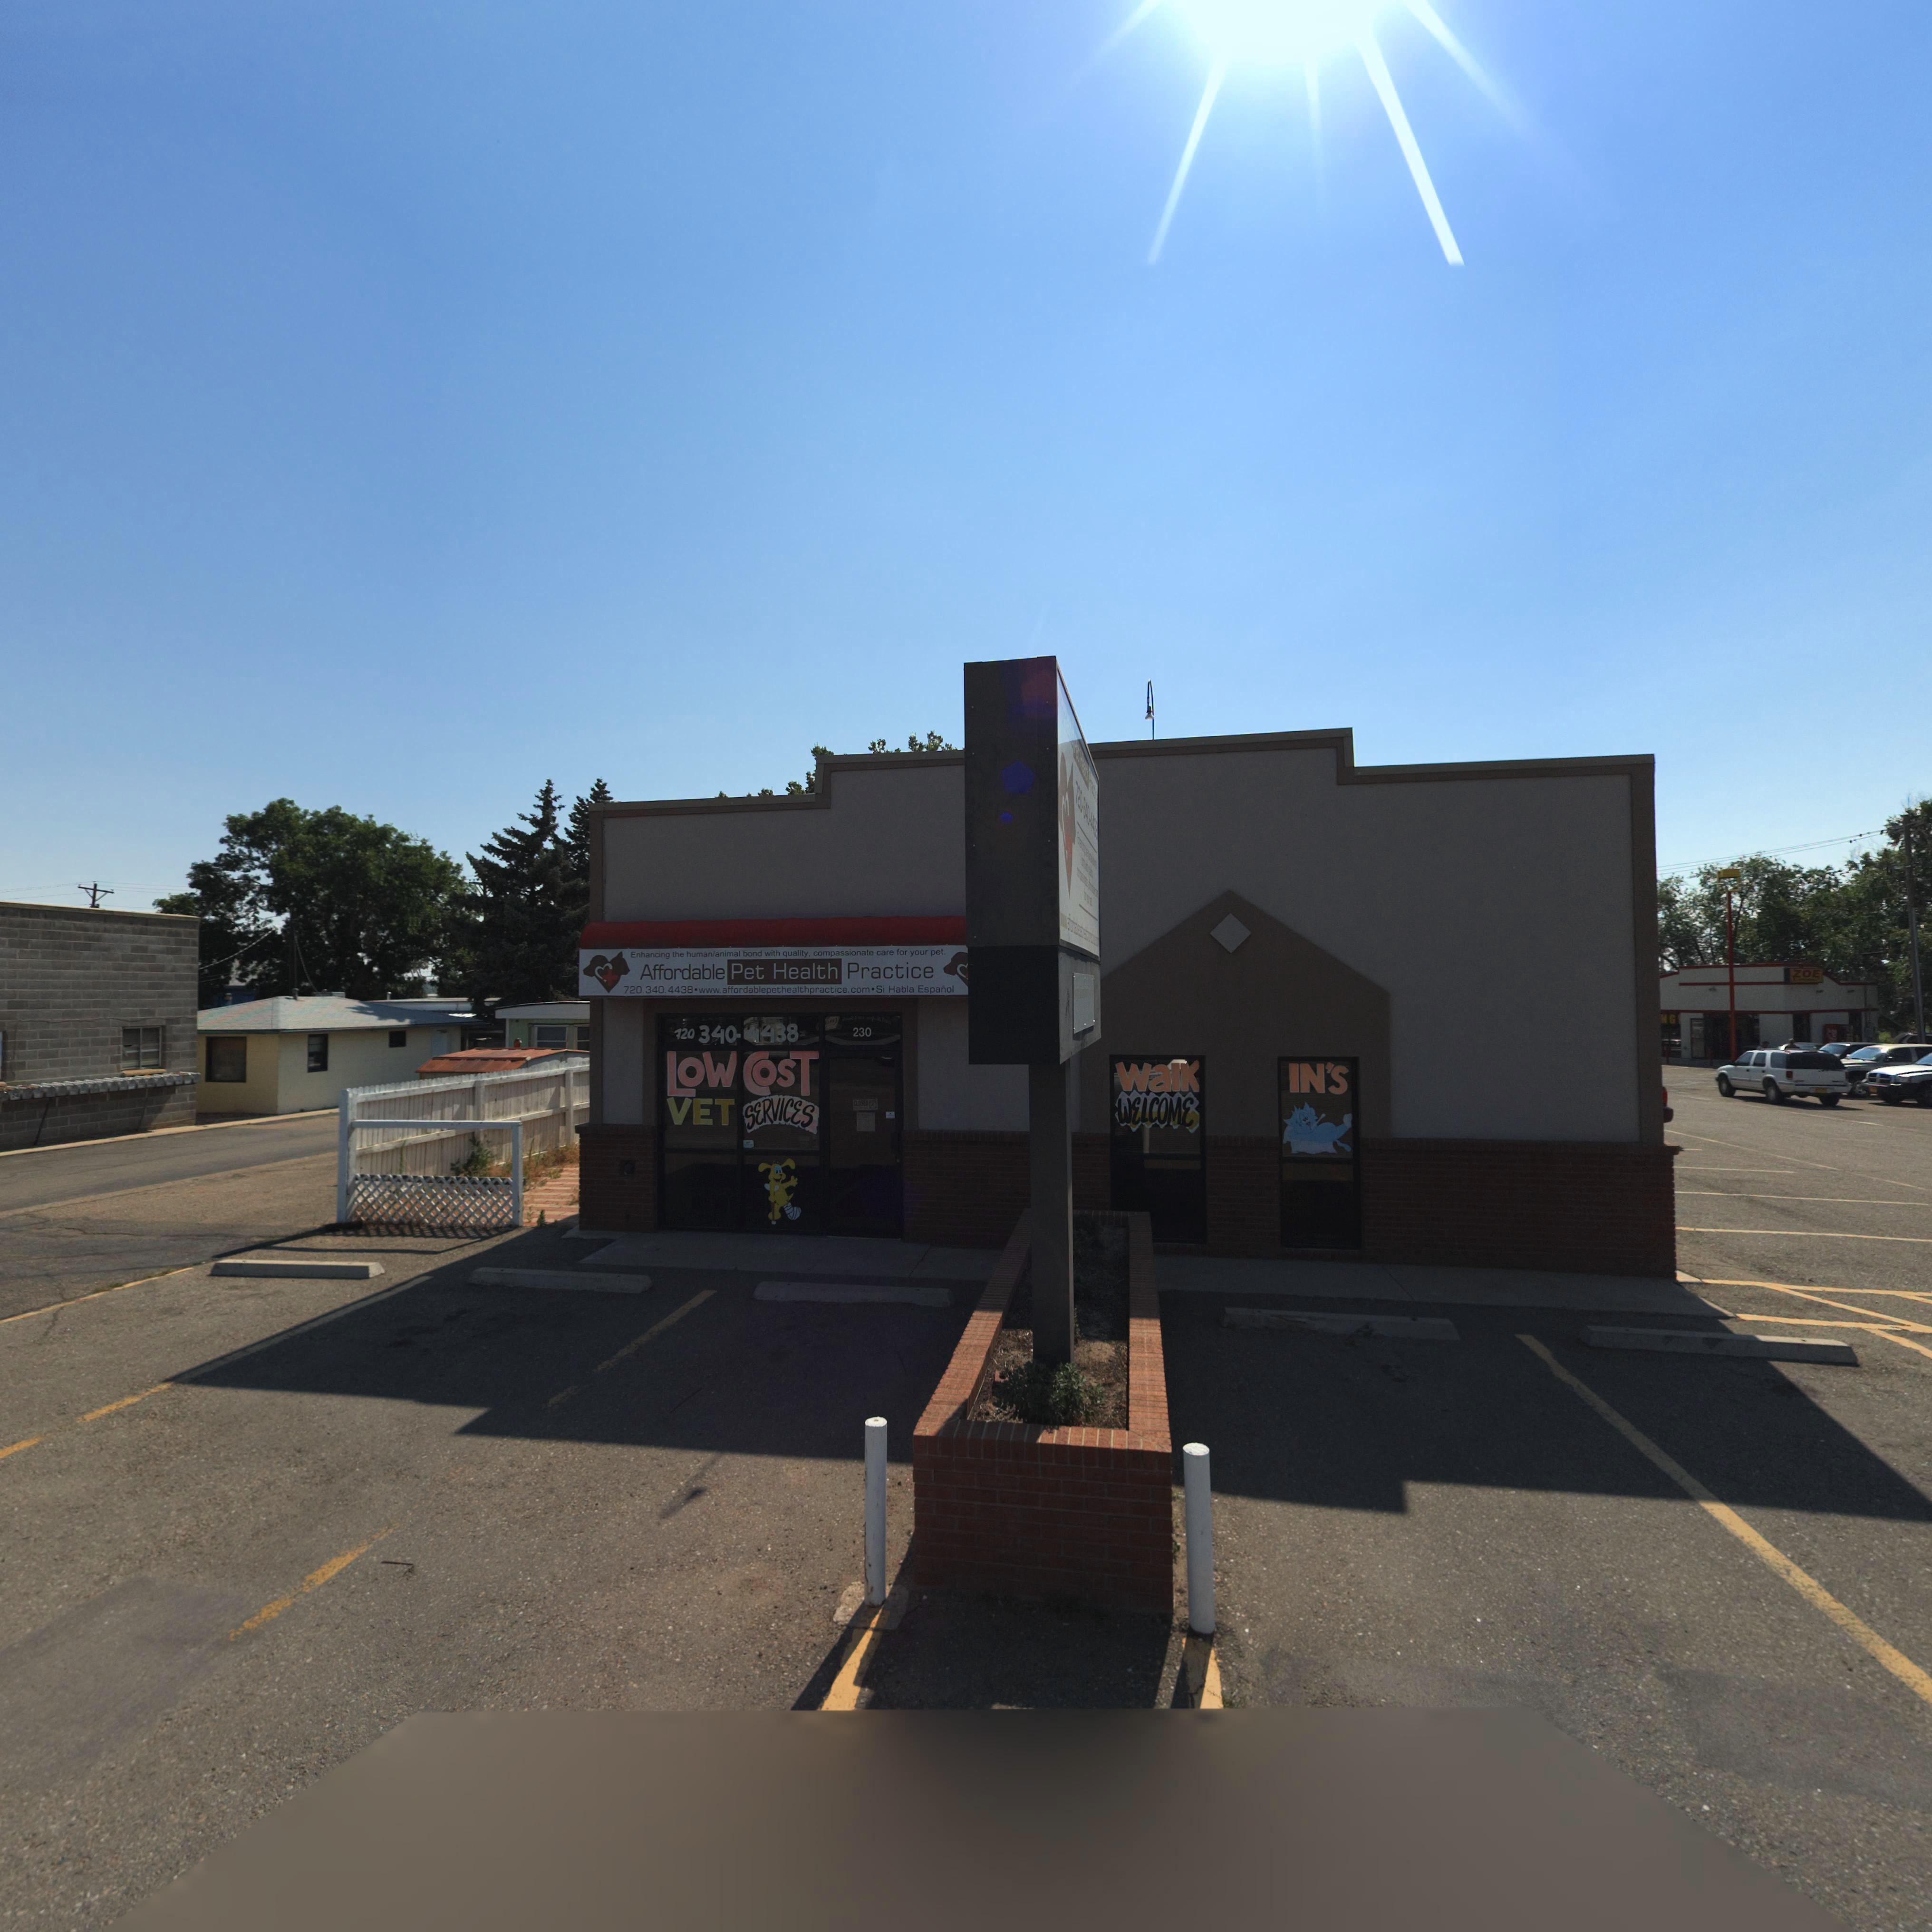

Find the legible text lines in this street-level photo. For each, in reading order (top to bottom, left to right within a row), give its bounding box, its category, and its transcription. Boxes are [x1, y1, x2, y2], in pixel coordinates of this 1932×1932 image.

[638, 961, 935, 980] BusinessName: Affordable Pet Health Practice